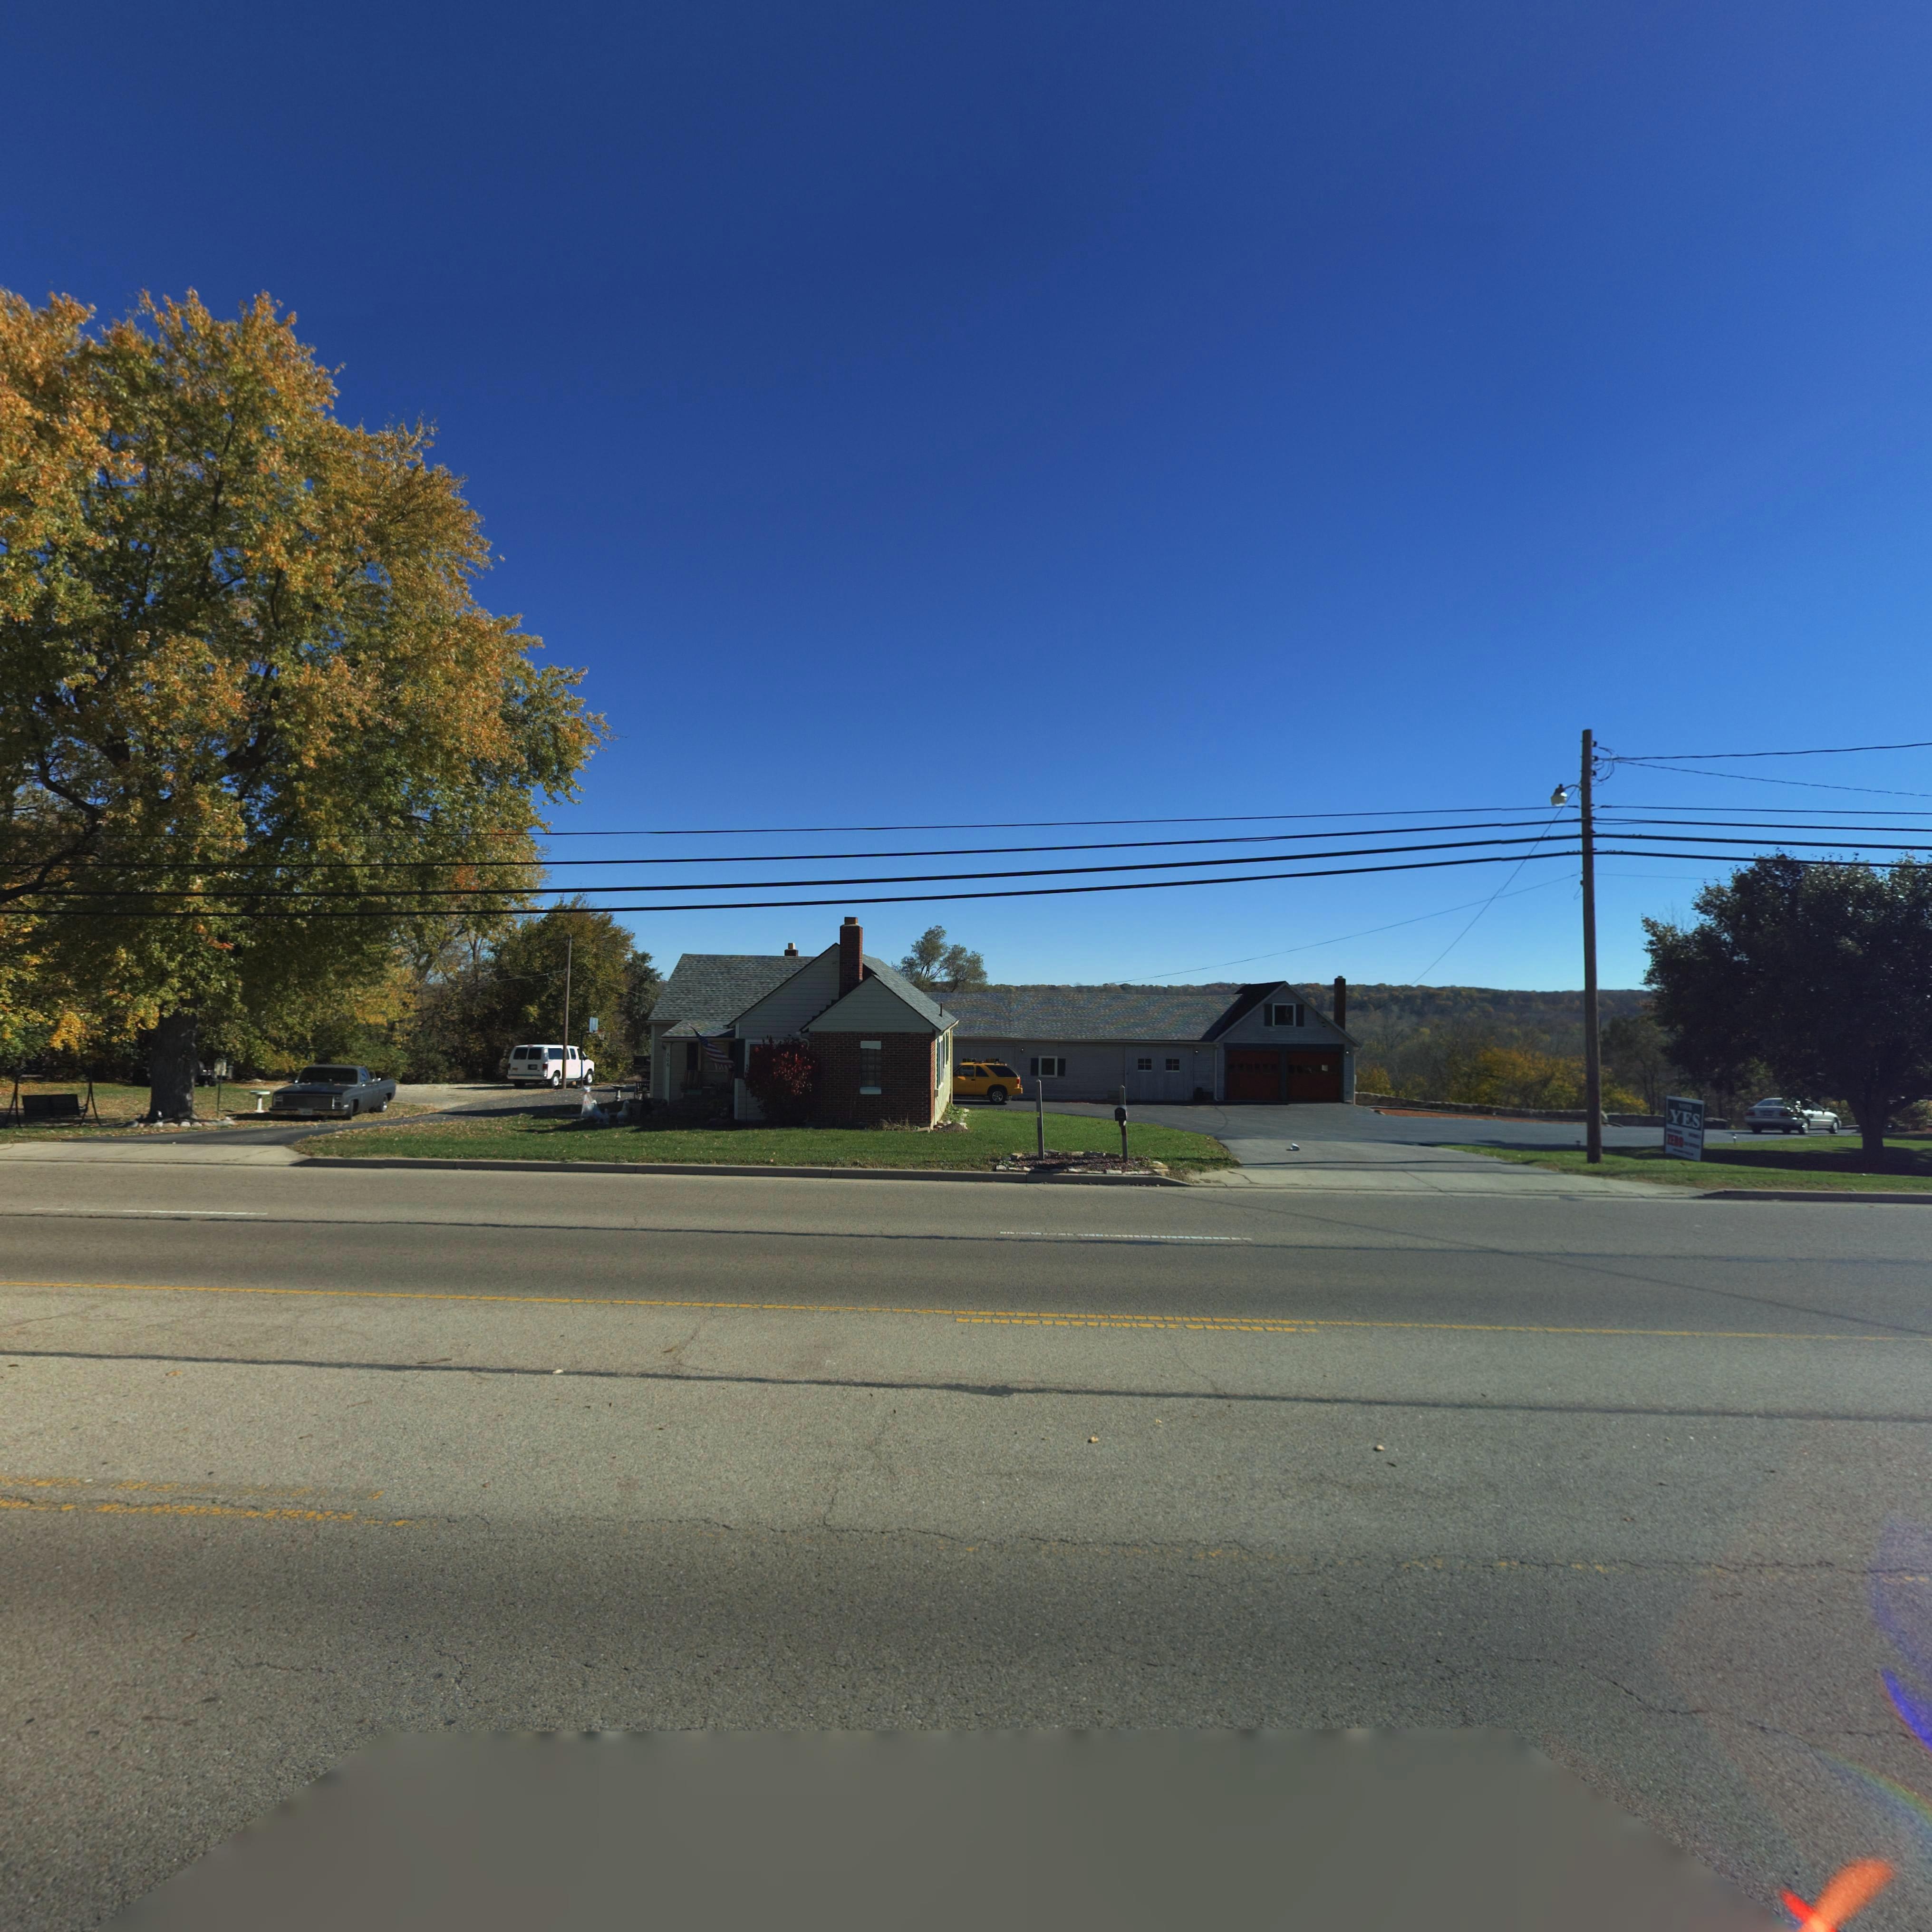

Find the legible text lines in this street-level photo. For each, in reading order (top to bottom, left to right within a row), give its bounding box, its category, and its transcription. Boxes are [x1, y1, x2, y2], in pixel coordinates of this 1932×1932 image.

[666, 1052, 670, 1067] StreetNumber: 606
[1668, 1108, 1701, 1130] None: YES
[1666, 1132, 1675, 1147] None: ZE